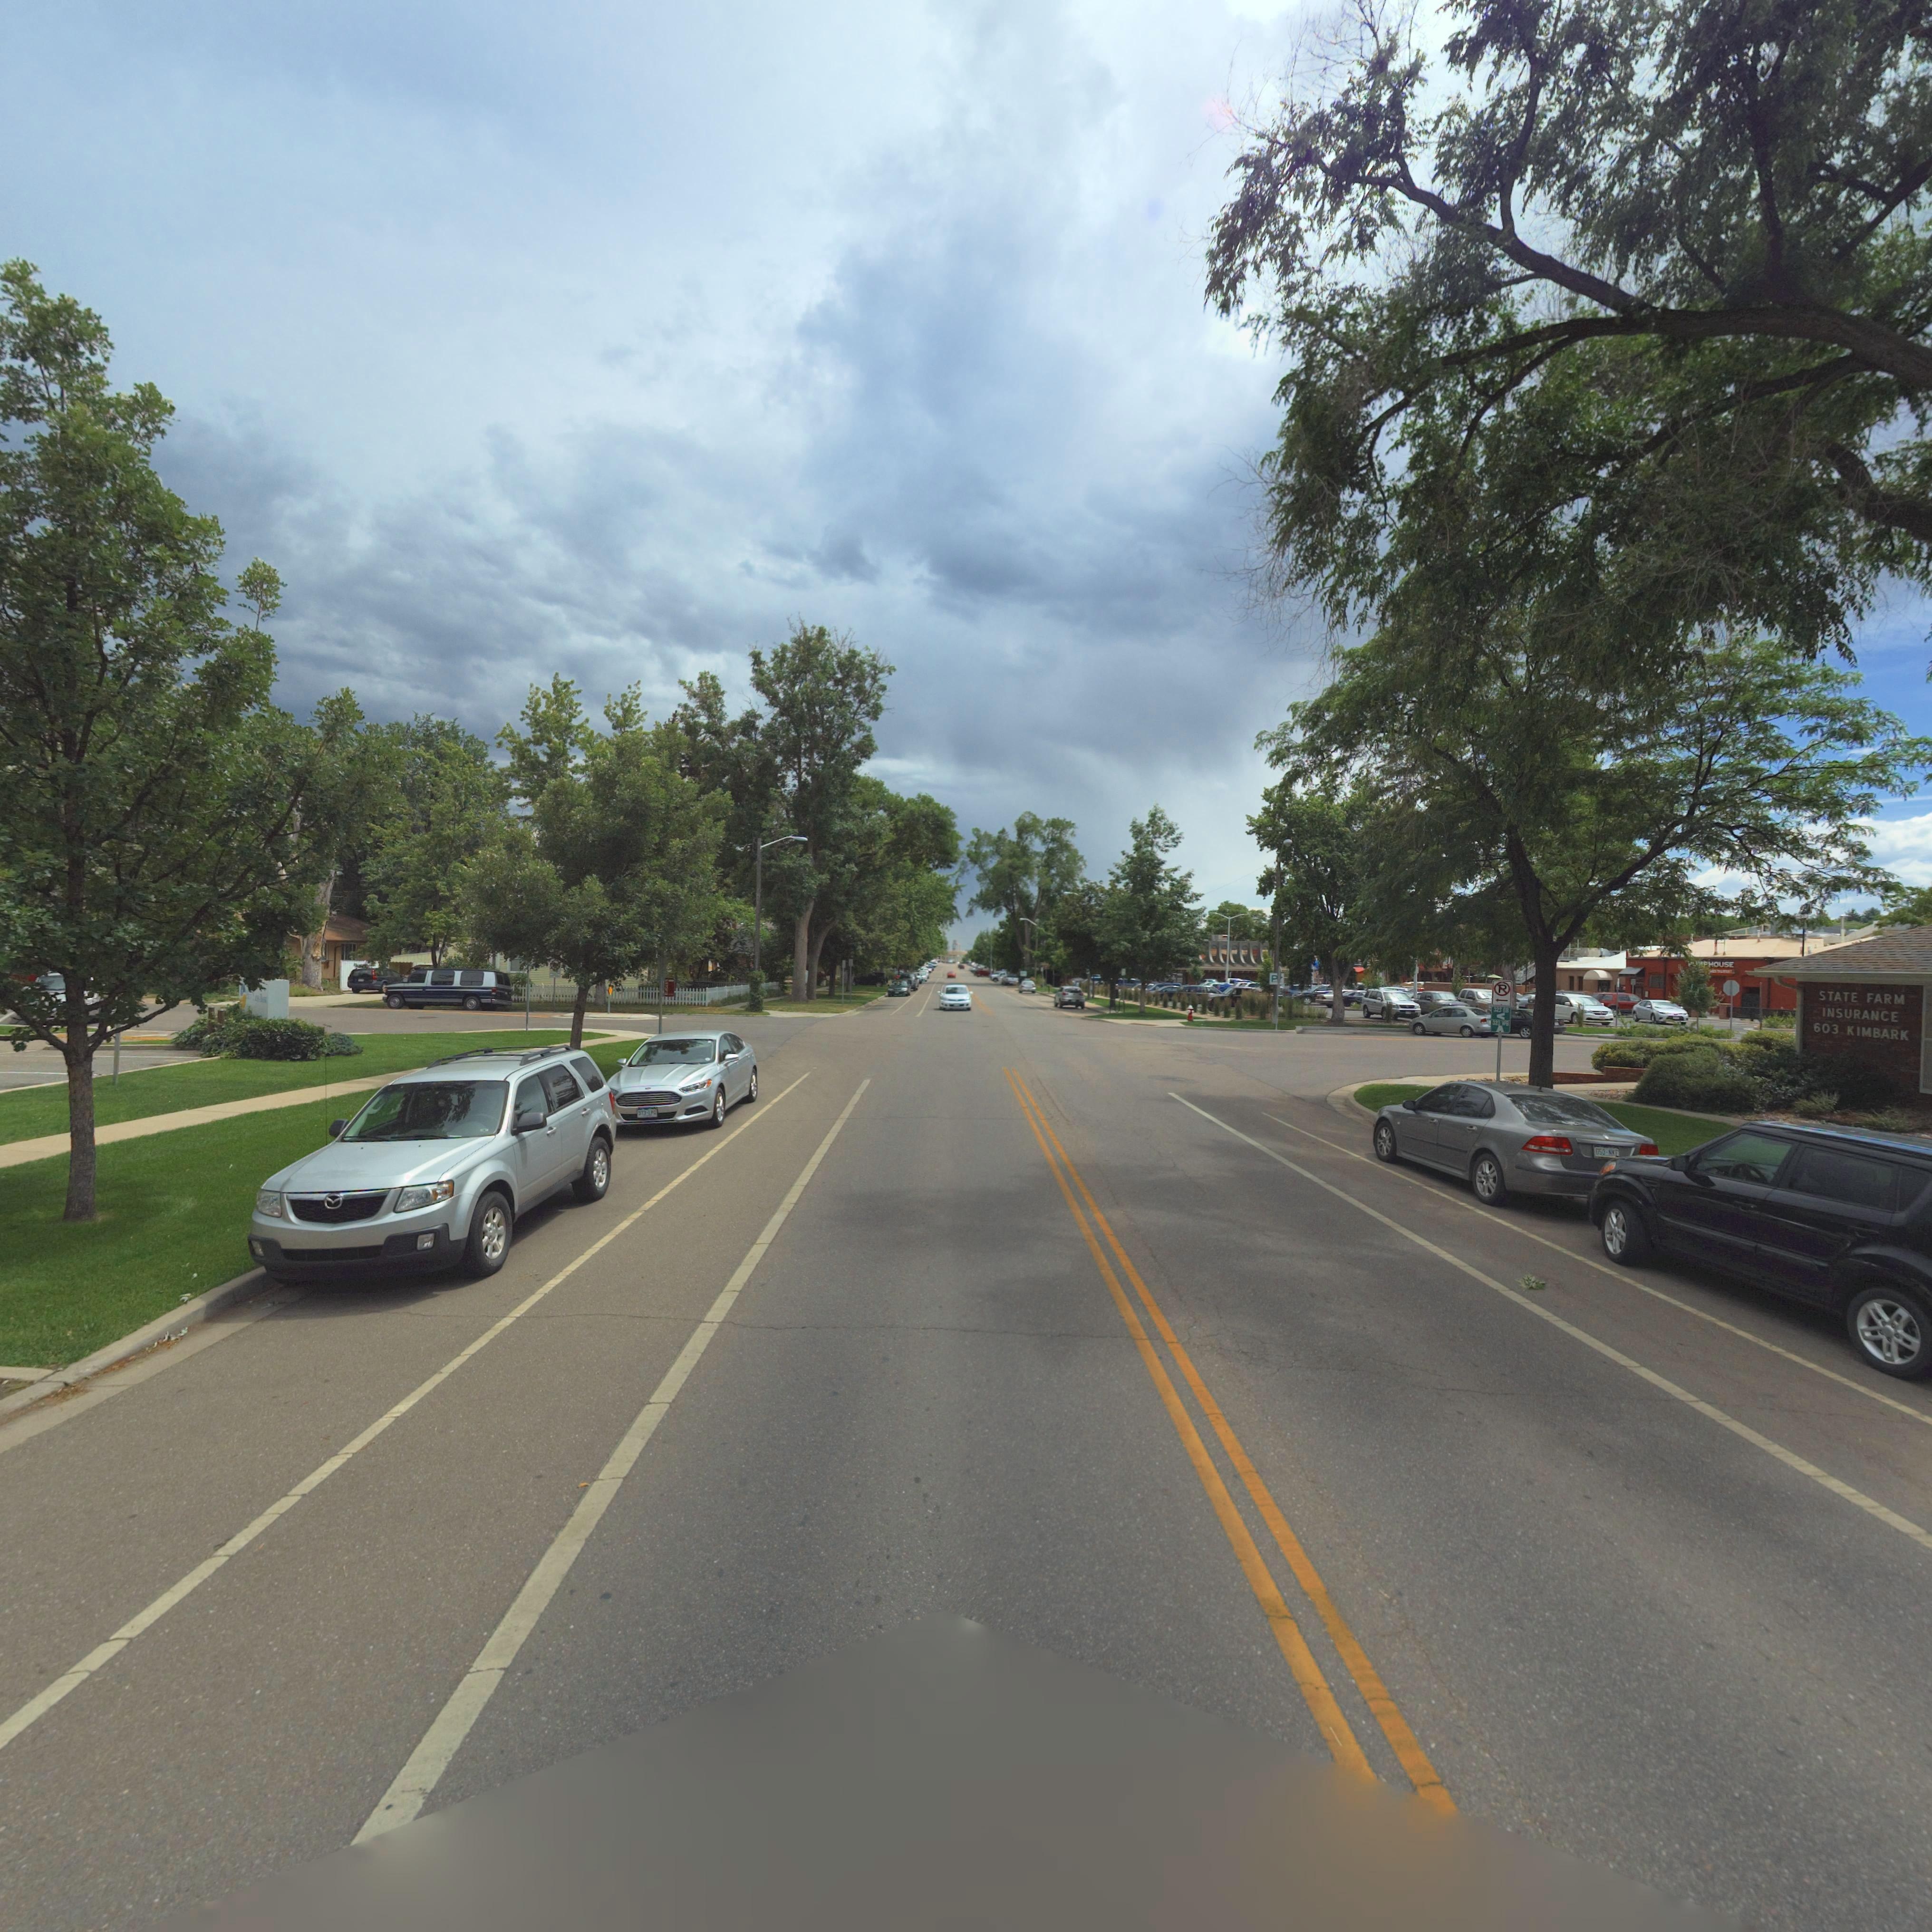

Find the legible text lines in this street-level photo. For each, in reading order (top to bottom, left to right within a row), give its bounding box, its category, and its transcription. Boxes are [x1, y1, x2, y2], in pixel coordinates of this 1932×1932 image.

[1688, 960, 1734, 967] BusinessName: ***PHOUSE
[251, 992, 268, 1004] BusinessName: P***** B***
[1818, 990, 1905, 1005] BusinessName: STATE FARM
[1822, 1006, 1899, 1023] BusinessName: INSURANCE
[1813, 1021, 1839, 1035] StreetNumber: 603
[1846, 1024, 1910, 1042] StreetName: KIMBARK